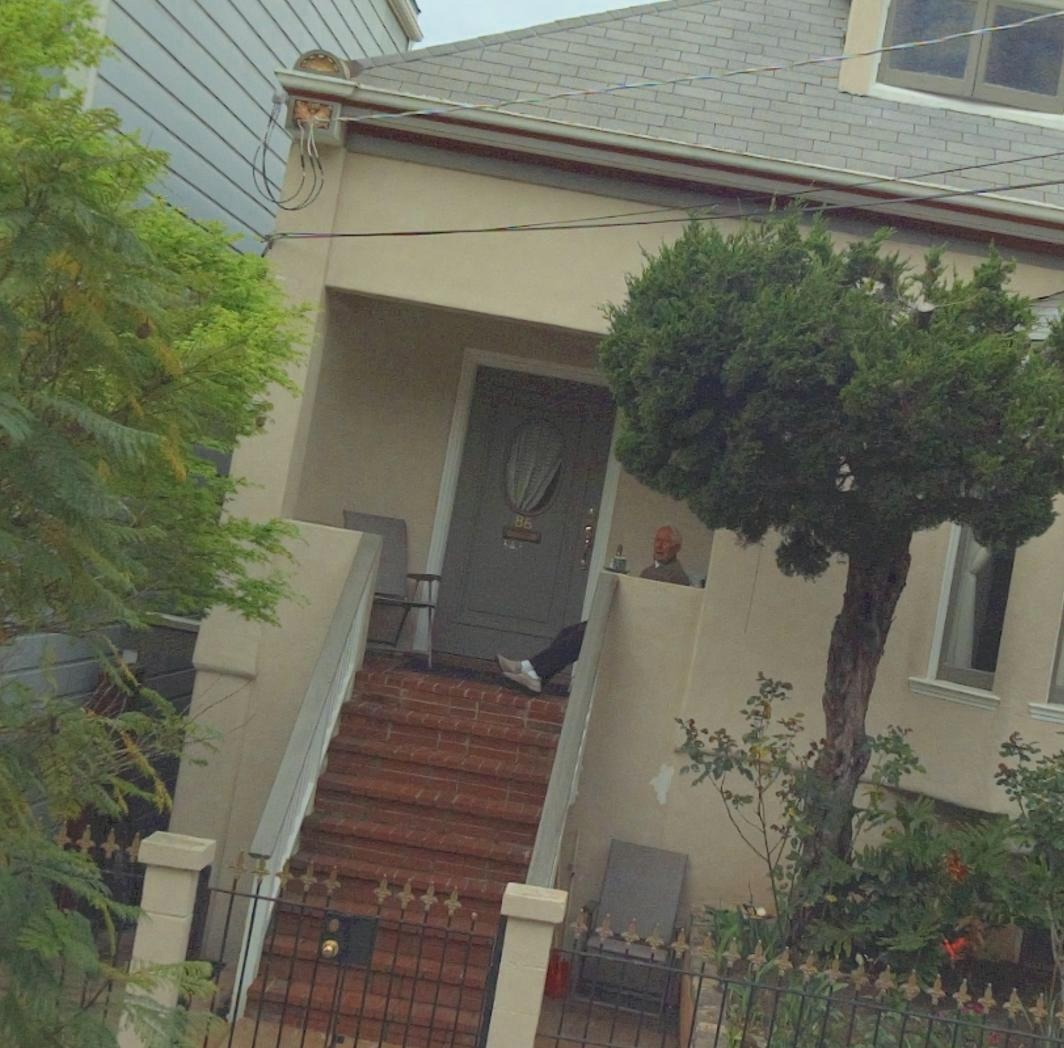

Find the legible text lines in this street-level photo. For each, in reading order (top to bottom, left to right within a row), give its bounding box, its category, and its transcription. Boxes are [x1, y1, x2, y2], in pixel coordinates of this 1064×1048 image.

[512, 512, 535, 531] StreetNumber: 86